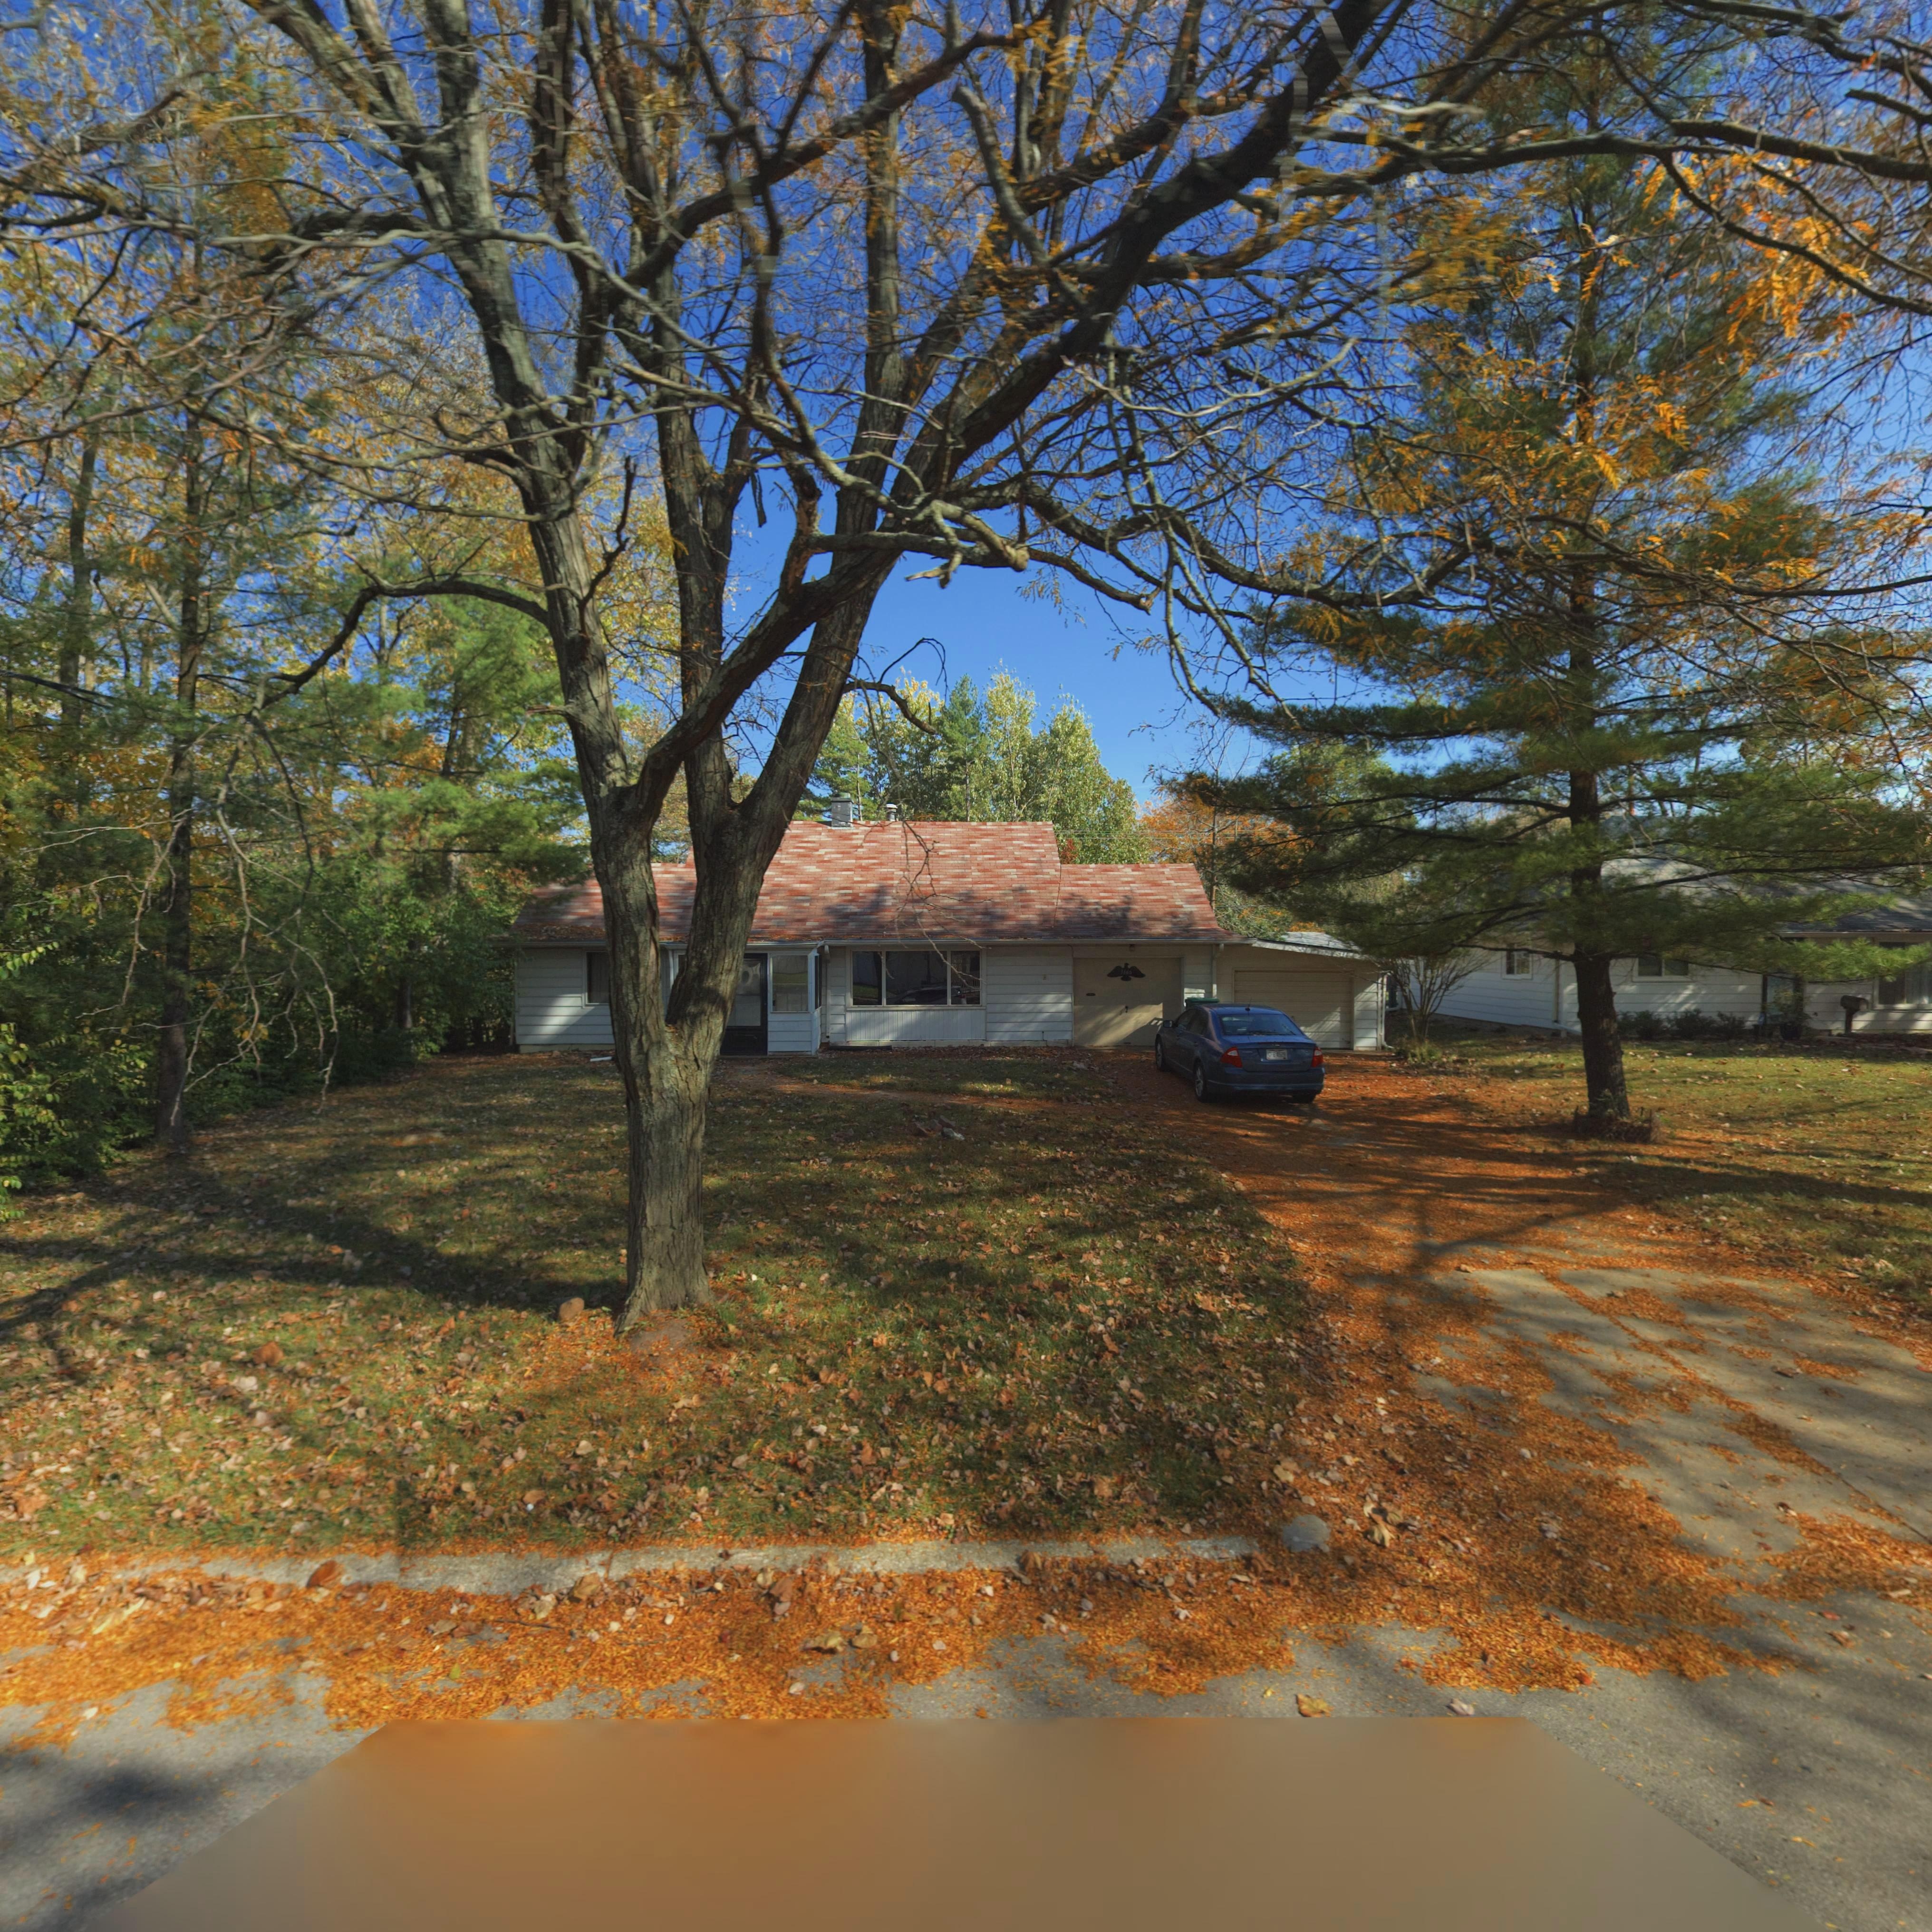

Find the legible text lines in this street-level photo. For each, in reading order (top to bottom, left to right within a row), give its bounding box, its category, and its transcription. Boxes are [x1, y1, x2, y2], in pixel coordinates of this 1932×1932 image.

[1120, 968, 1133, 976] StreetNumber: 3666
[1268, 1051, 1285, 1057] None: *** 4529